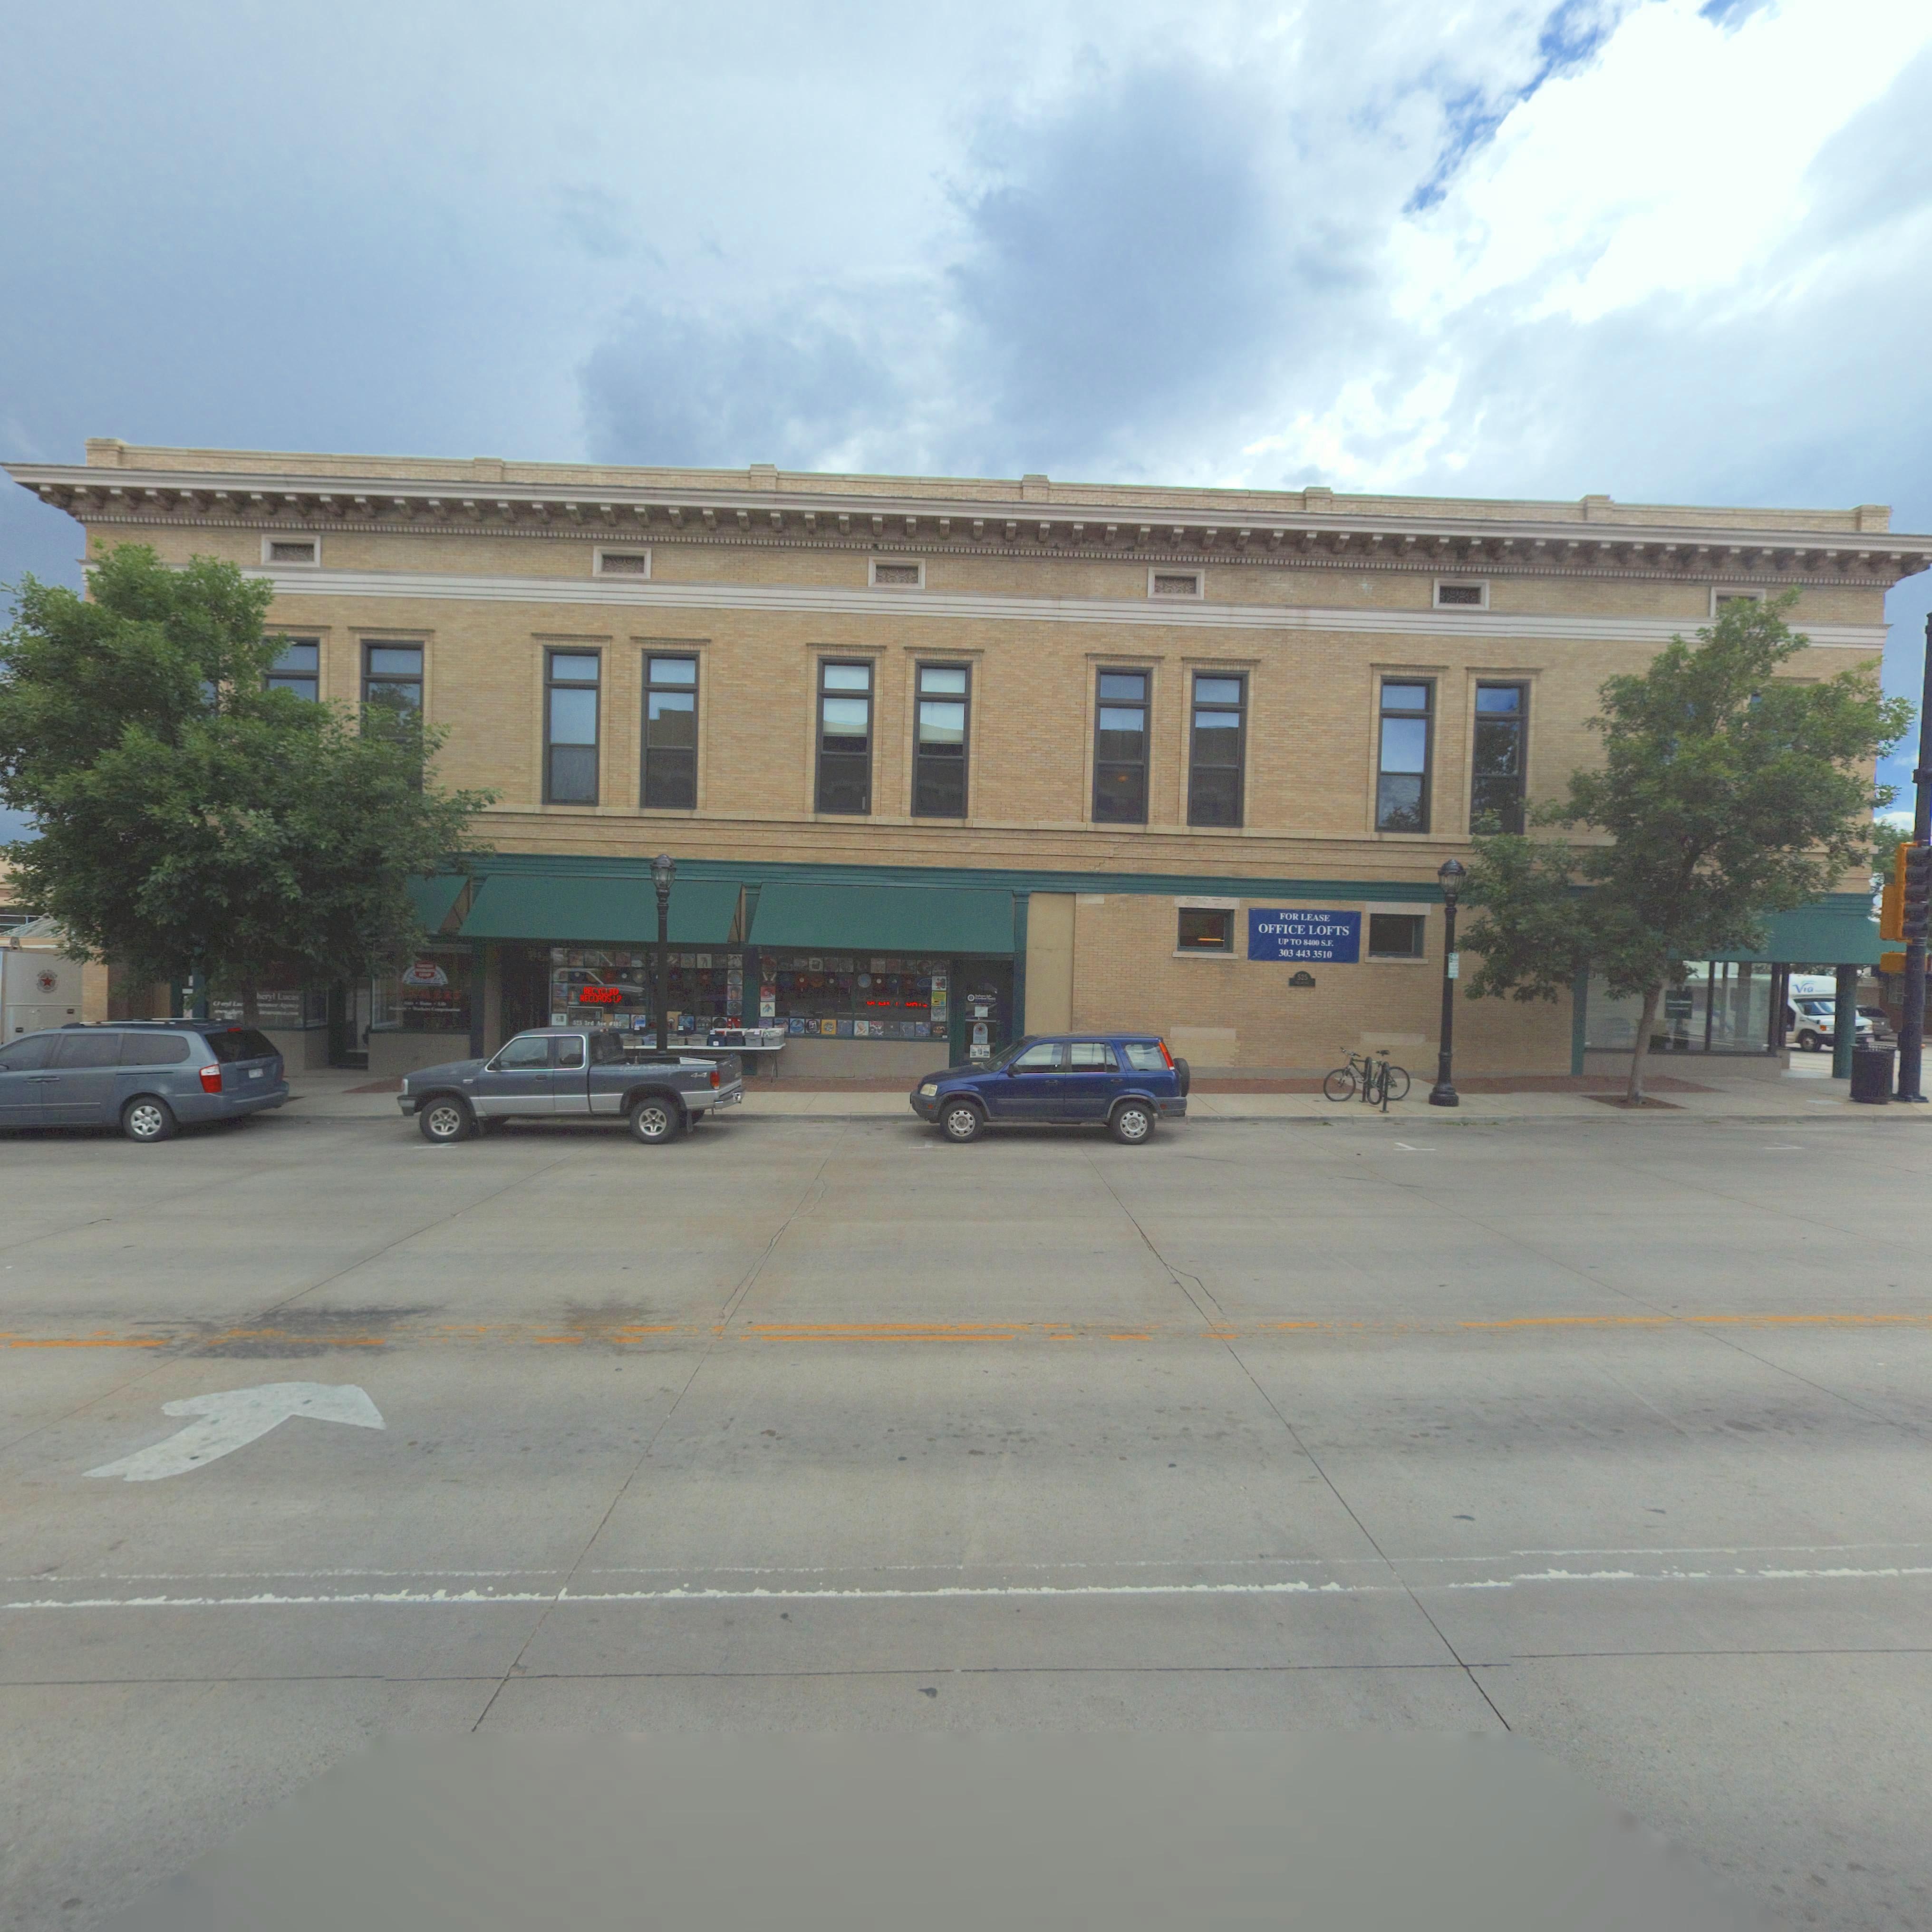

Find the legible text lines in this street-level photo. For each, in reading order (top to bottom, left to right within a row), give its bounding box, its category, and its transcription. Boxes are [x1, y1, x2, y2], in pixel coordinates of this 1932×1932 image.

[1296, 974, 1308, 980] StreetNumber: 525
[418, 989, 461, 1000] BusinessName: MERS
[572, 1020, 582, 1025] StreetNumber: 325
[584, 1020, 607, 1026] StreetName: 3rd Ave